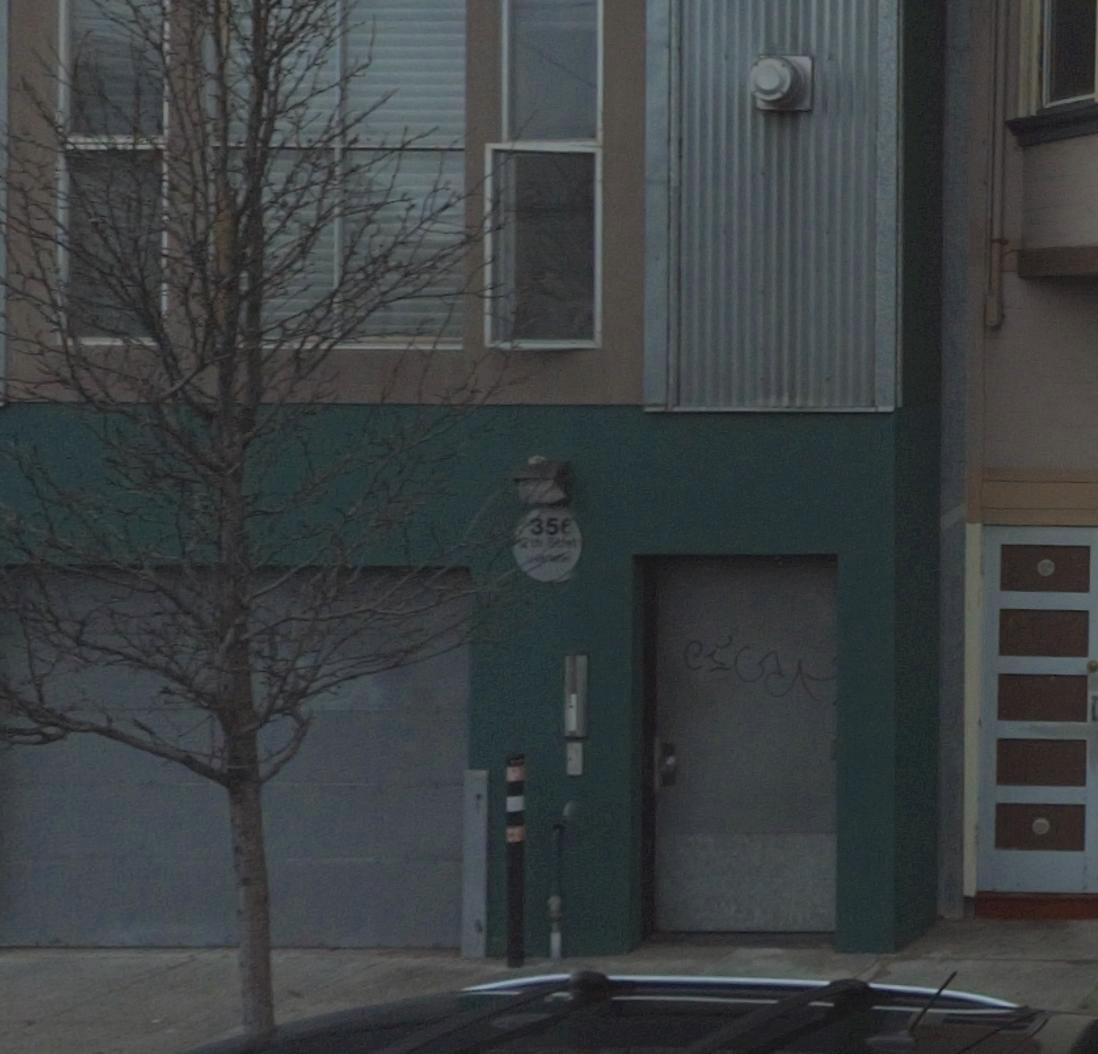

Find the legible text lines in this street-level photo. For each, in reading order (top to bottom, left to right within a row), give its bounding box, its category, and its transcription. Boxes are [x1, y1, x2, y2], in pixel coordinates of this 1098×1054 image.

[527, 515, 574, 538] StreetNumber: 35*